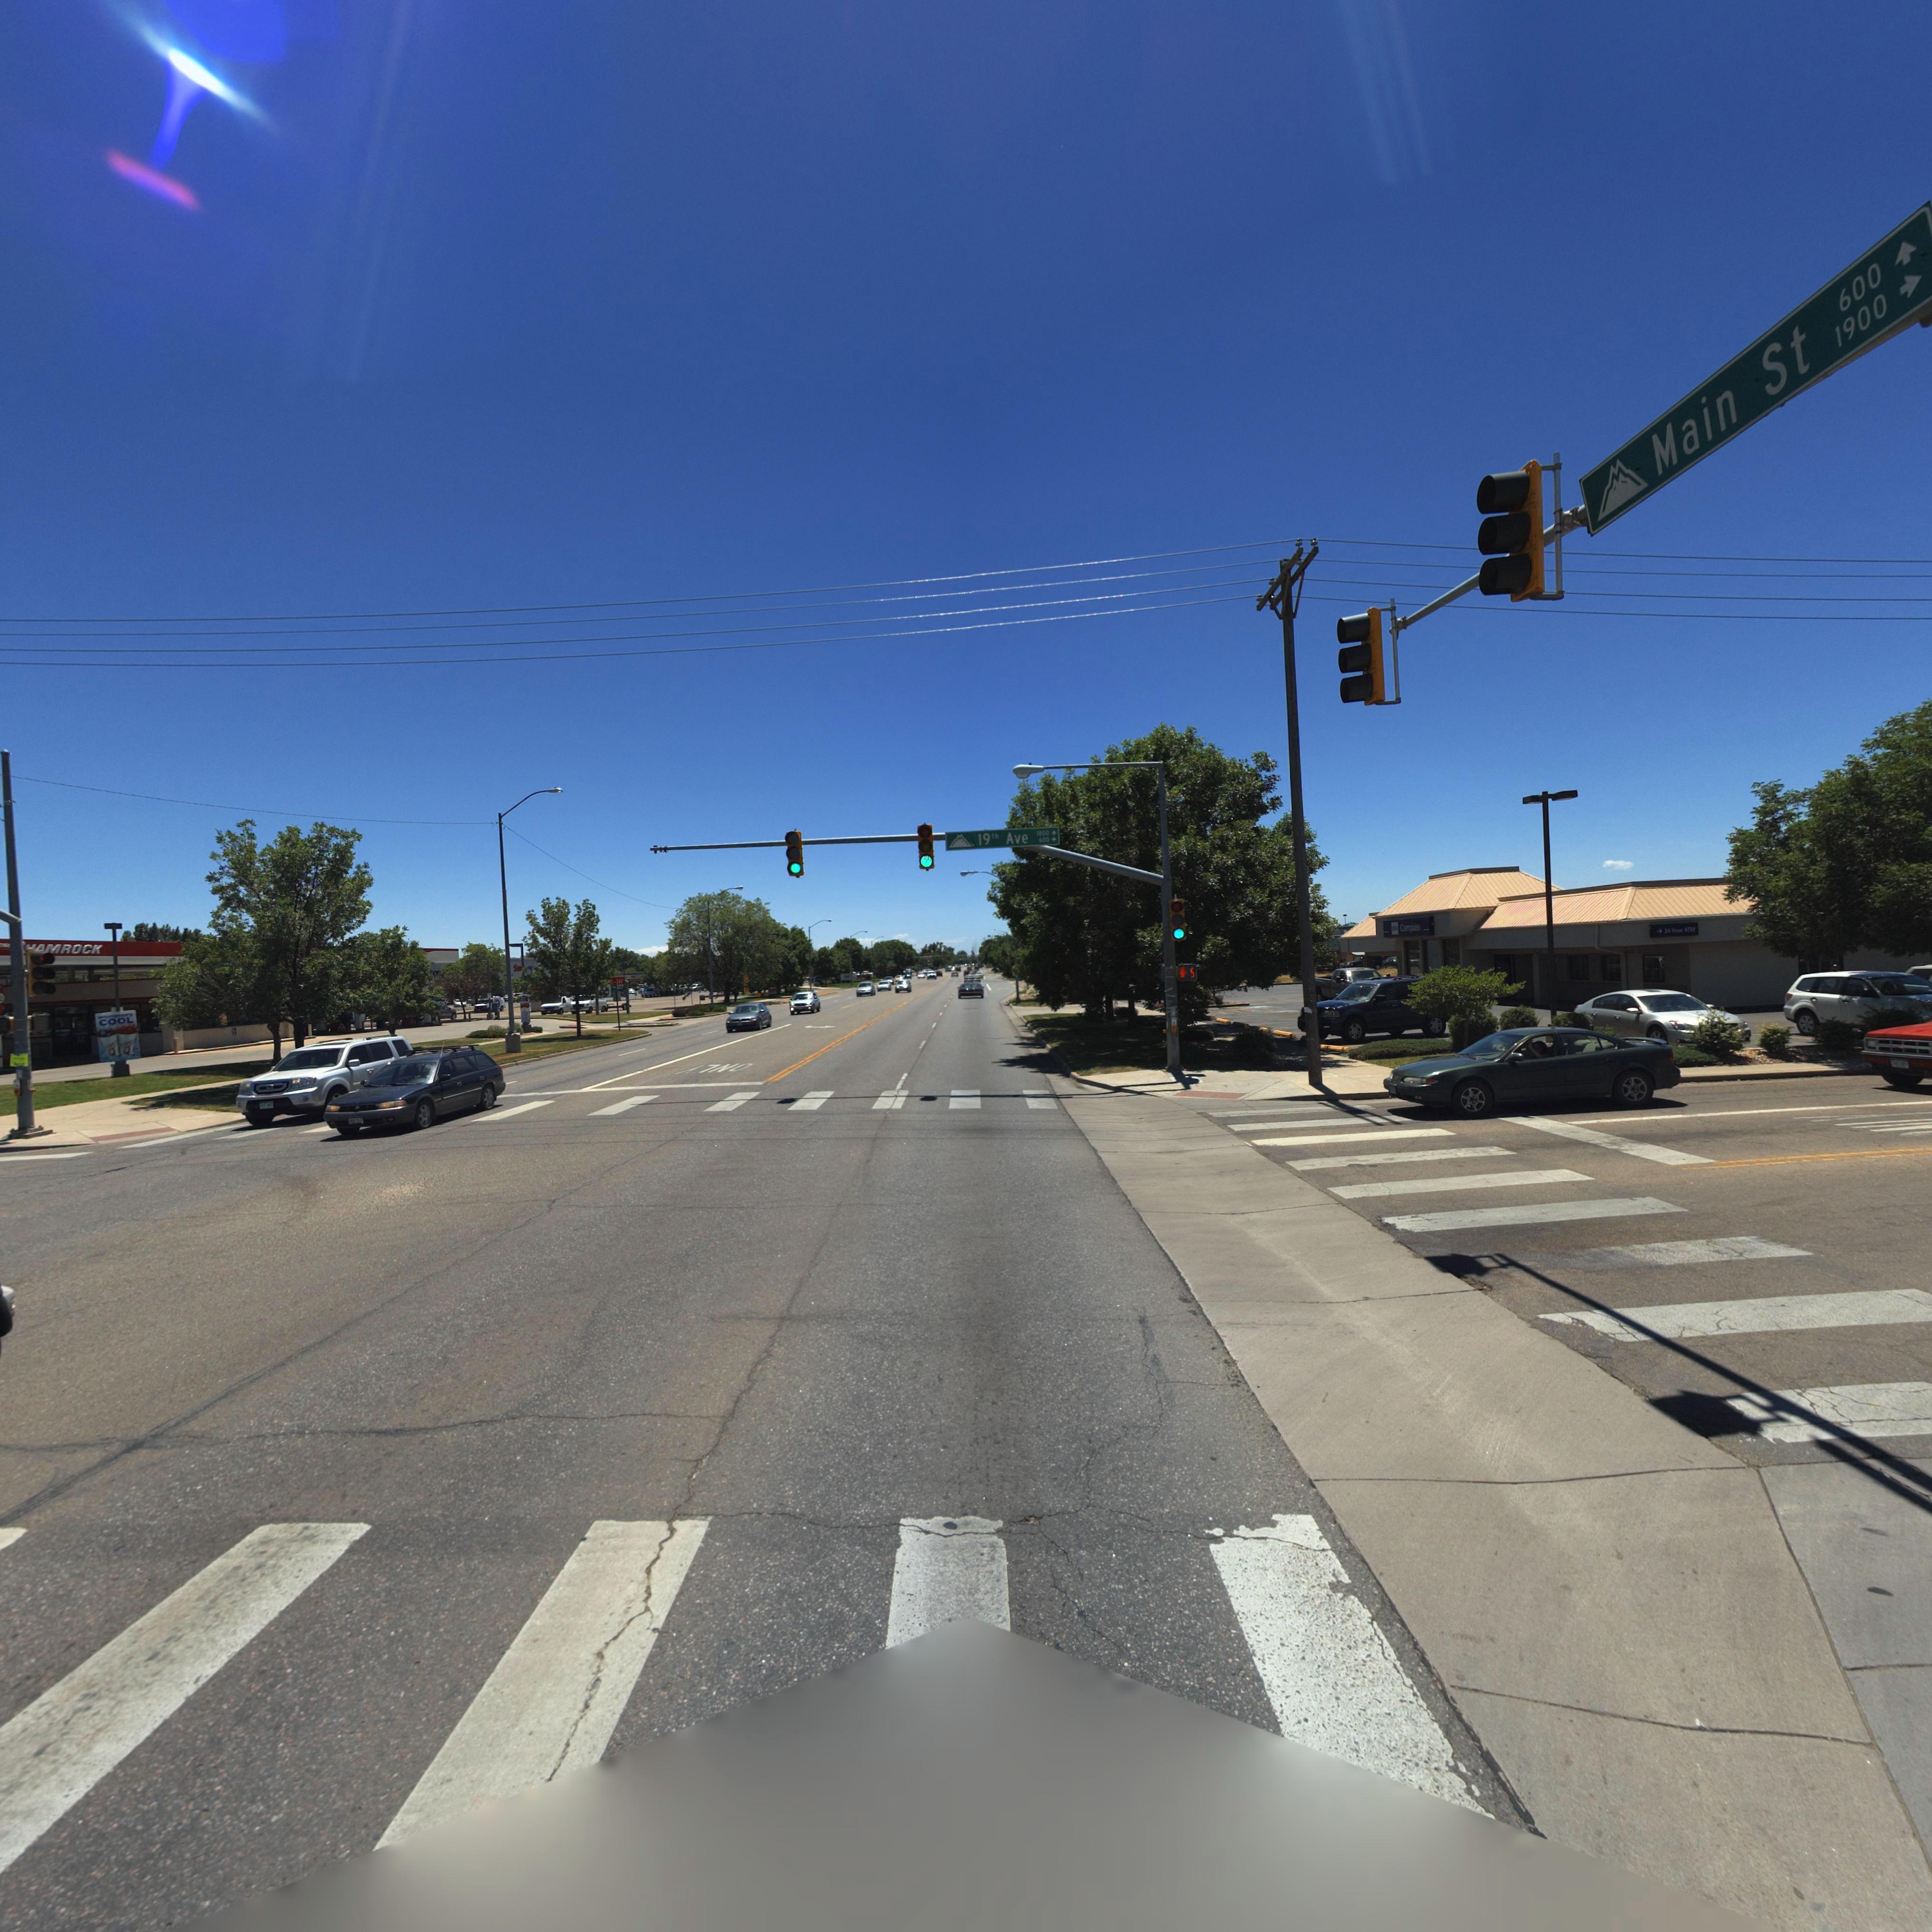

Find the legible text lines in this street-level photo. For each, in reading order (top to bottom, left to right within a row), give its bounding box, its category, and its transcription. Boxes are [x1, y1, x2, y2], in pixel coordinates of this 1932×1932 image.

[1838, 262, 1882, 313] StreetNumberRange: 600
[1834, 273, 1922, 348] StreetNumberRange: 1900 ->
[1650, 323, 1810, 477] StreetName: Main St
[977, 831, 1028, 846] StreetName: 19th Ave
[1036, 830, 1049, 836] StreetNumberRange: 1800
[1038, 836, 1057, 842] StreetNumberRange: 600 ->
[1391, 925, 1398, 930] BusinessName: ***A
[1400, 923, 1420, 933] BusinessName: Compass
[20, 940, 104, 955] BusinessName: **AMROCK
[513, 964, 526, 972] BusinessName: Sav***